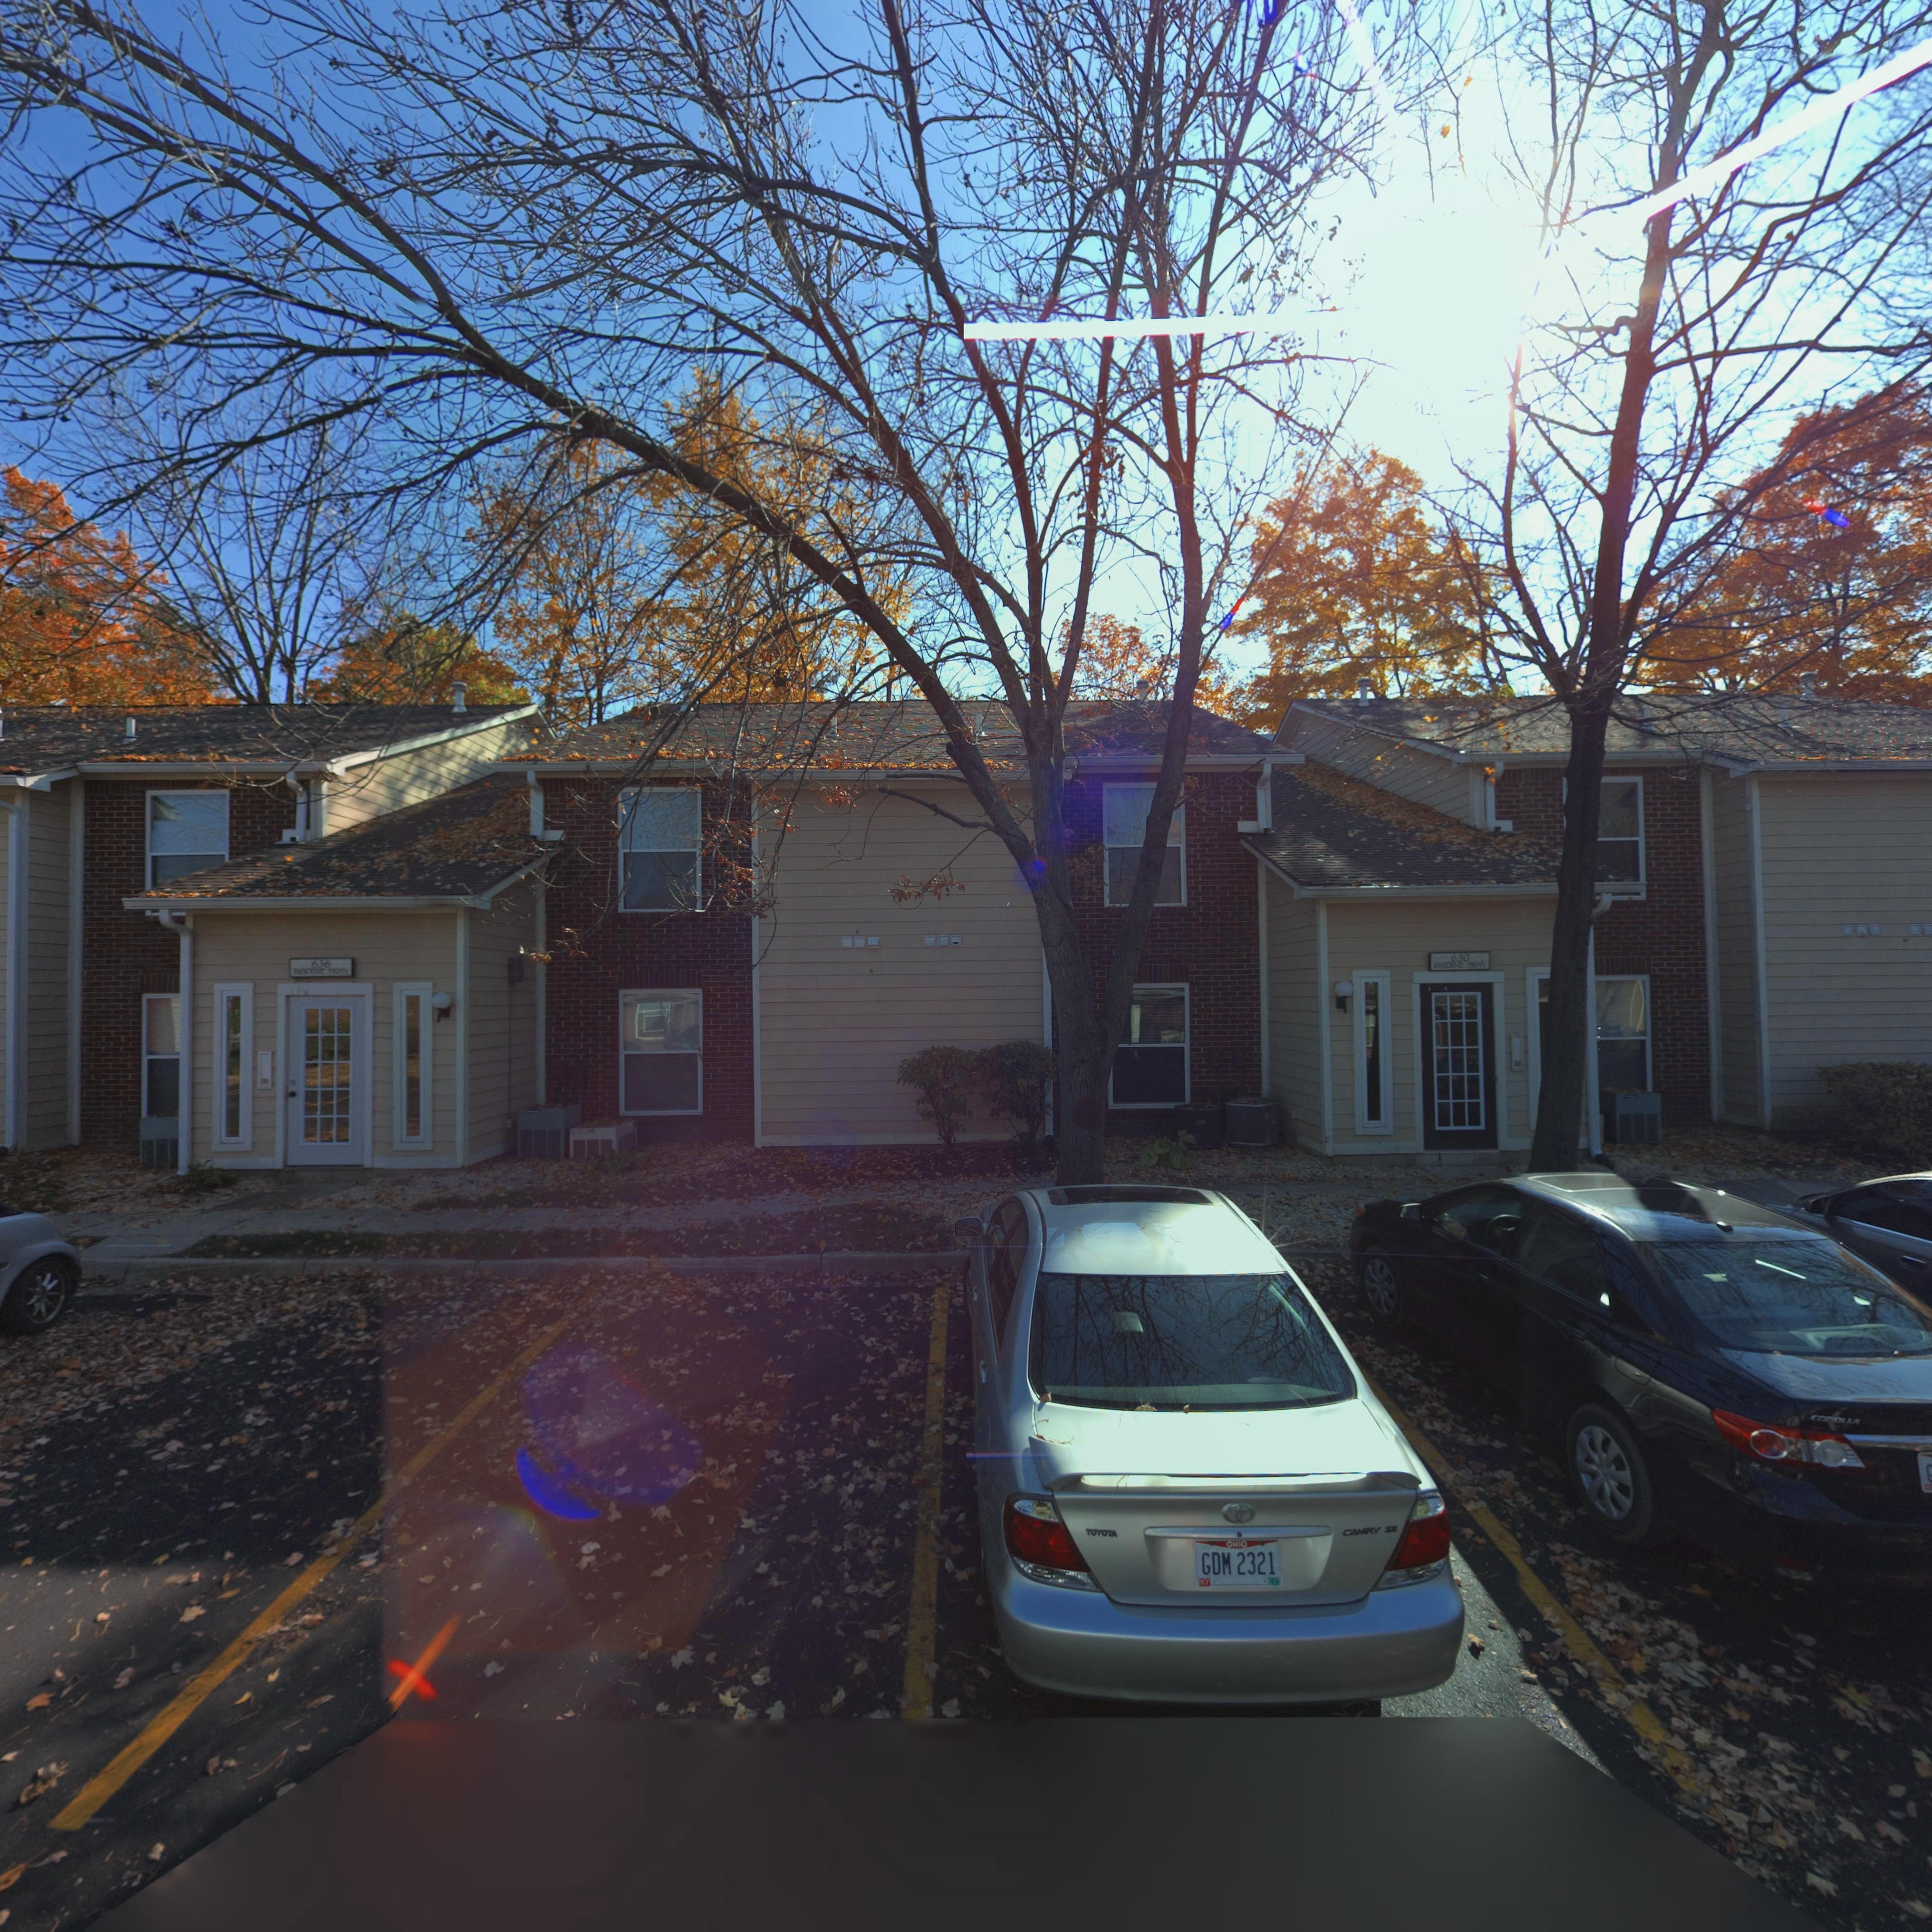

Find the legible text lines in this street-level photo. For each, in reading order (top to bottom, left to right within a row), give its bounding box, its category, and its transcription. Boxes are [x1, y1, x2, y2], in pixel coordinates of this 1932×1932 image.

[1450, 952, 1471, 963] StreetNumber: 630
[309, 958, 332, 969] StreetNumber: 636